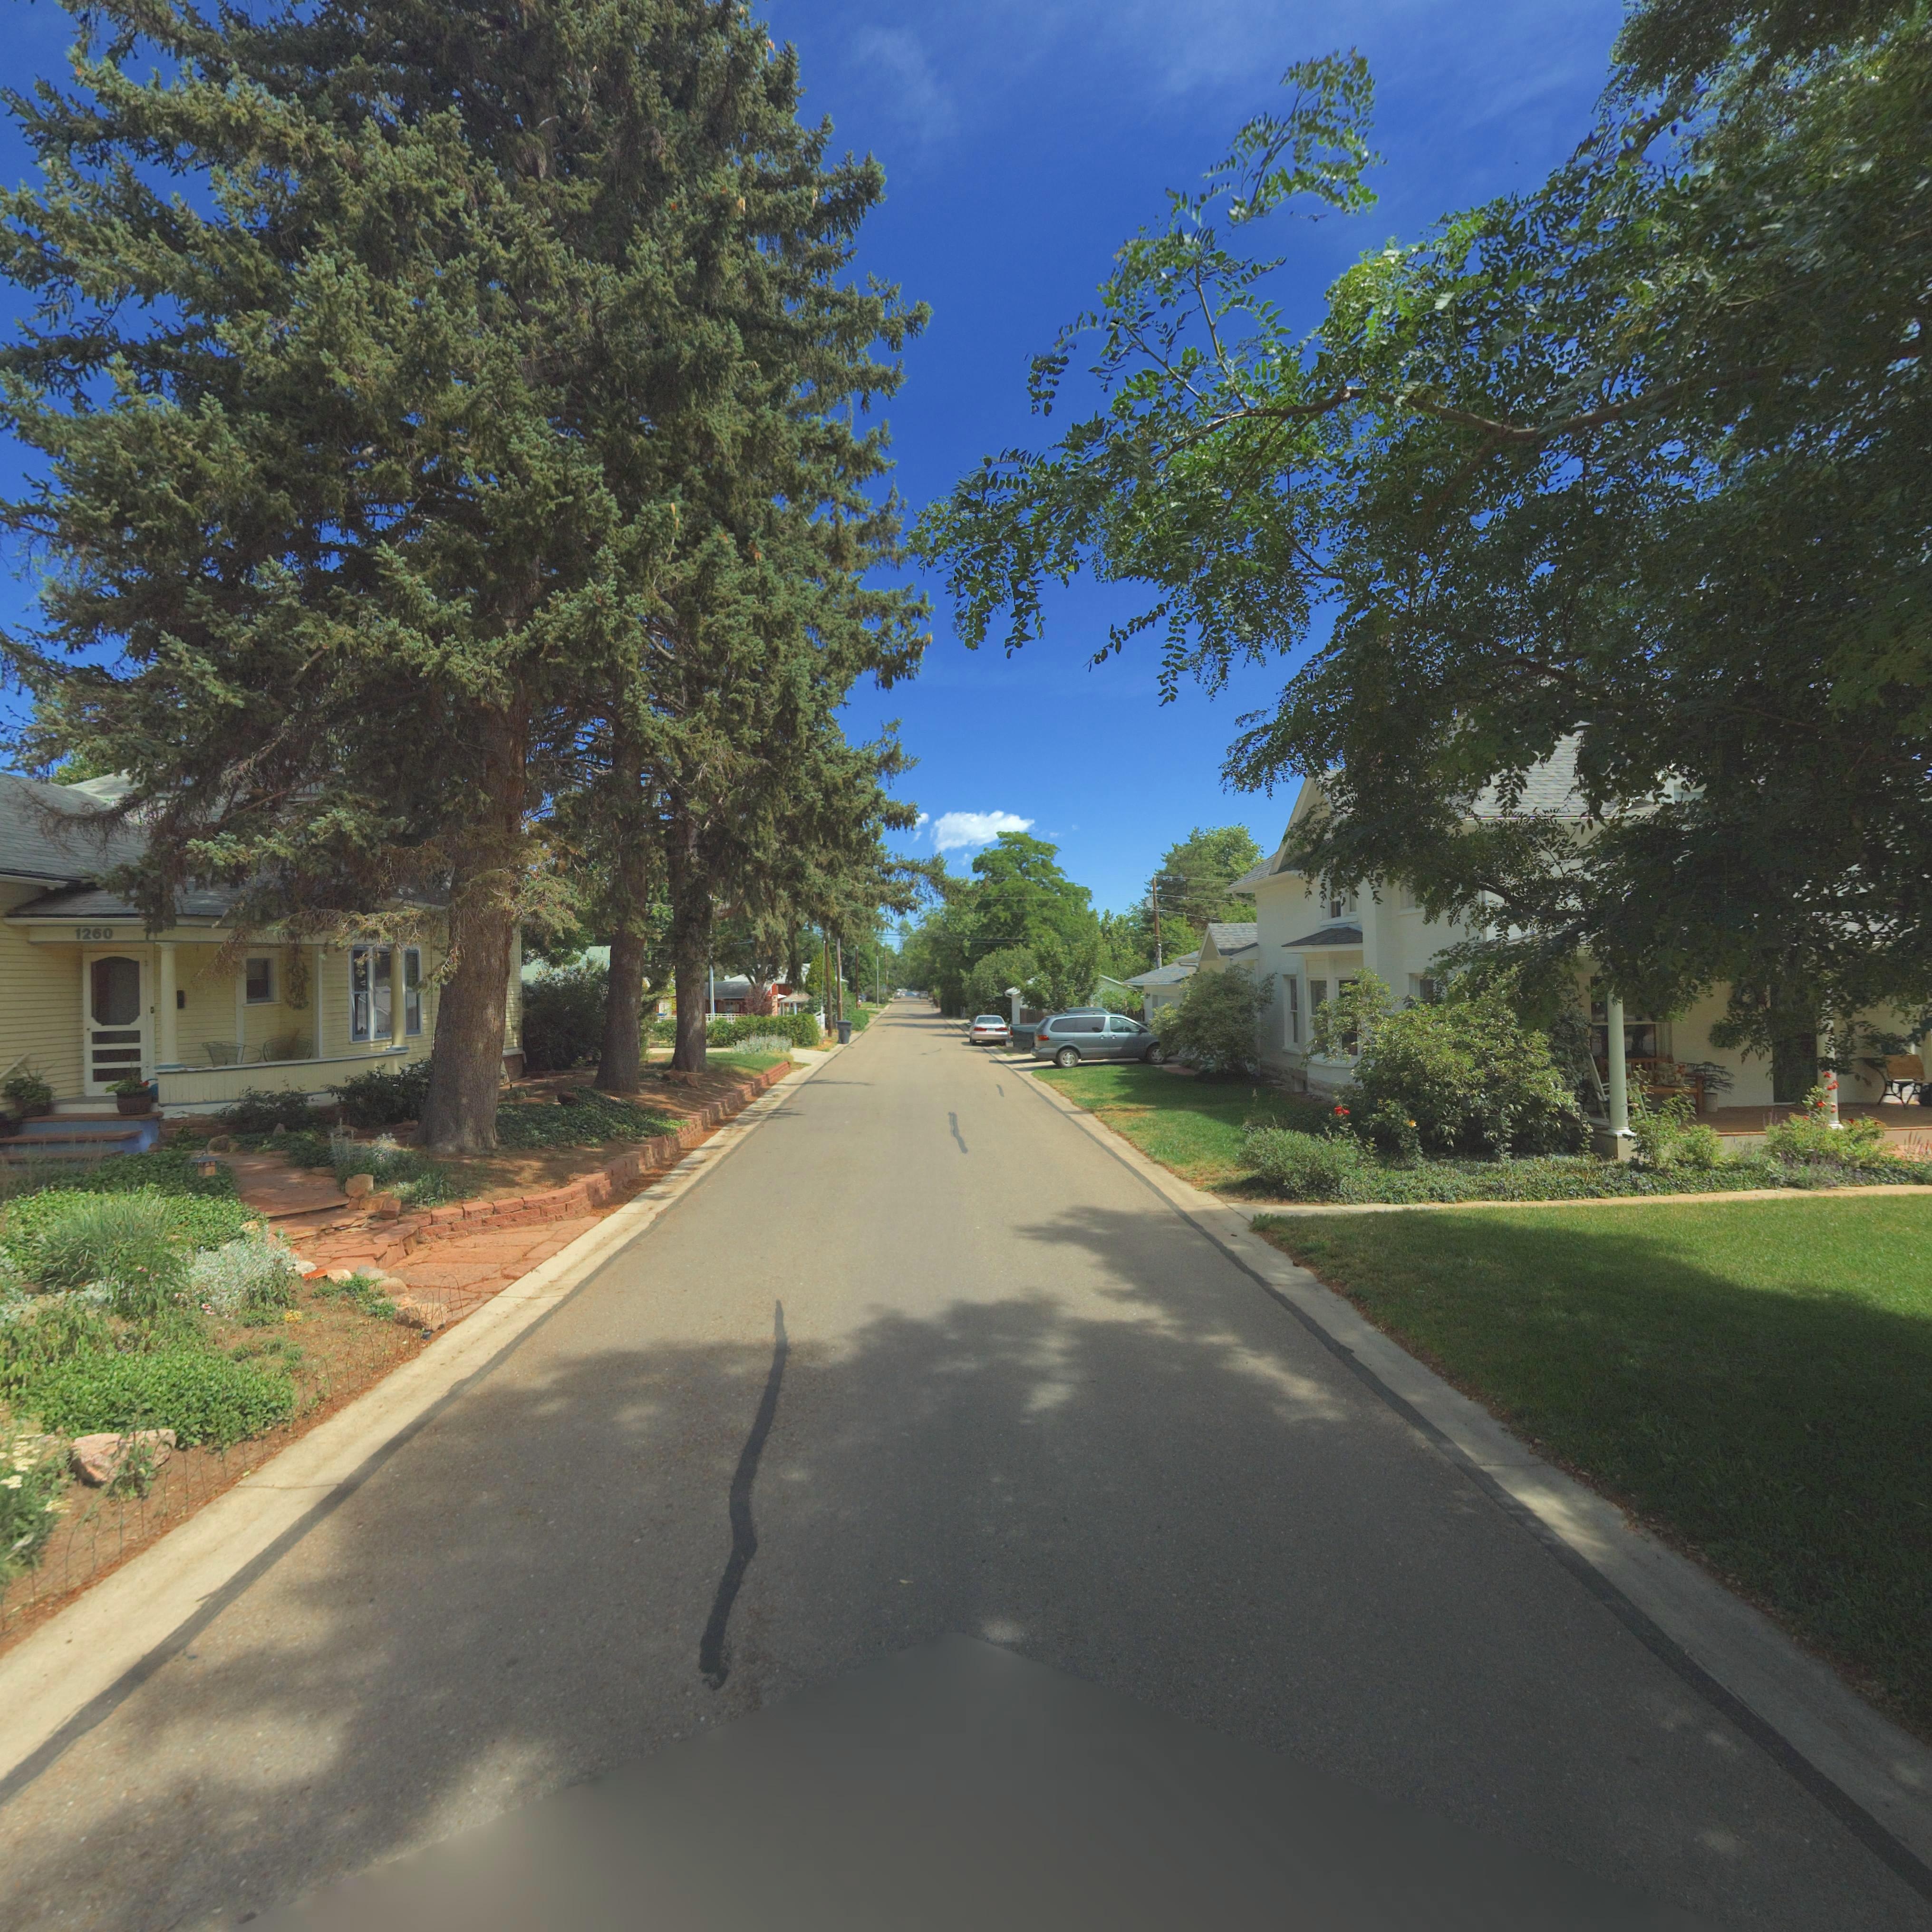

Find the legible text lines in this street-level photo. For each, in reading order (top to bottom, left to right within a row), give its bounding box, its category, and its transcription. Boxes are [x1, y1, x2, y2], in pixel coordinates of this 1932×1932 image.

[74, 927, 114, 940] StreetNumber: 1260